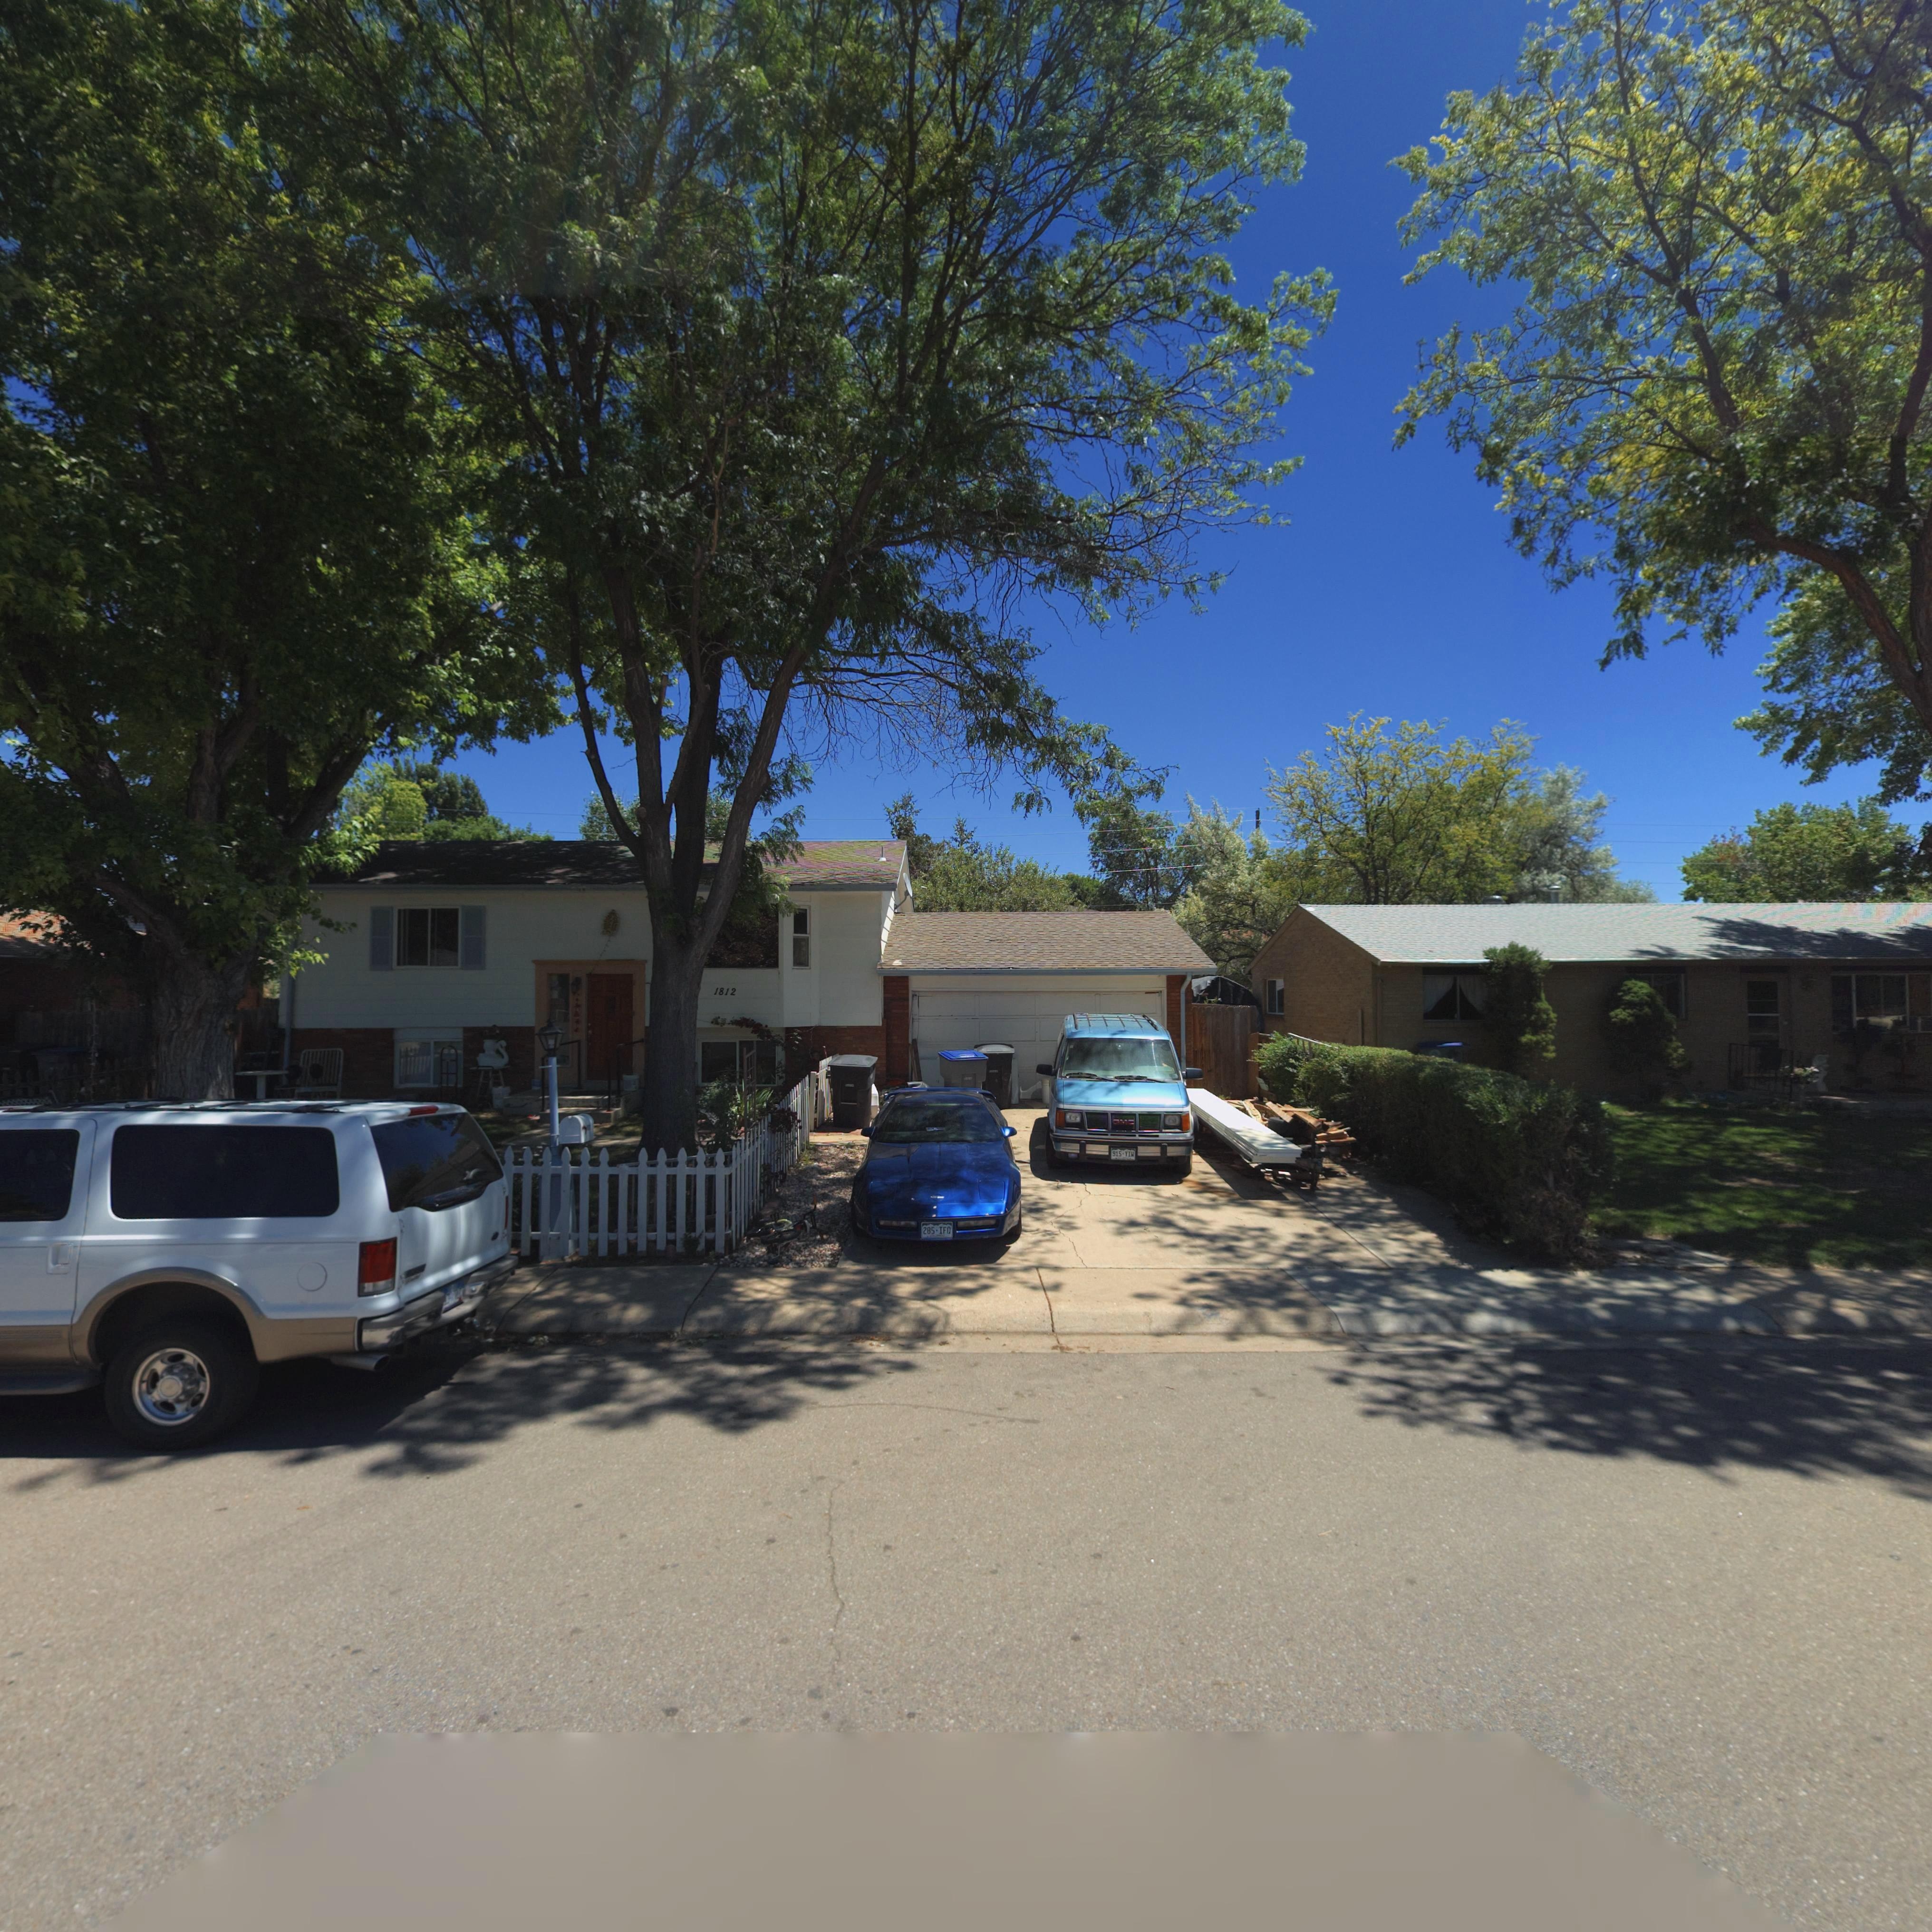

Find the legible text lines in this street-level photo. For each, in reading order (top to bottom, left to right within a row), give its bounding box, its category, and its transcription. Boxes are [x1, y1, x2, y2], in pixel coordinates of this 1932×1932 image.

[713, 987, 736, 995] StreetNumber: 1812